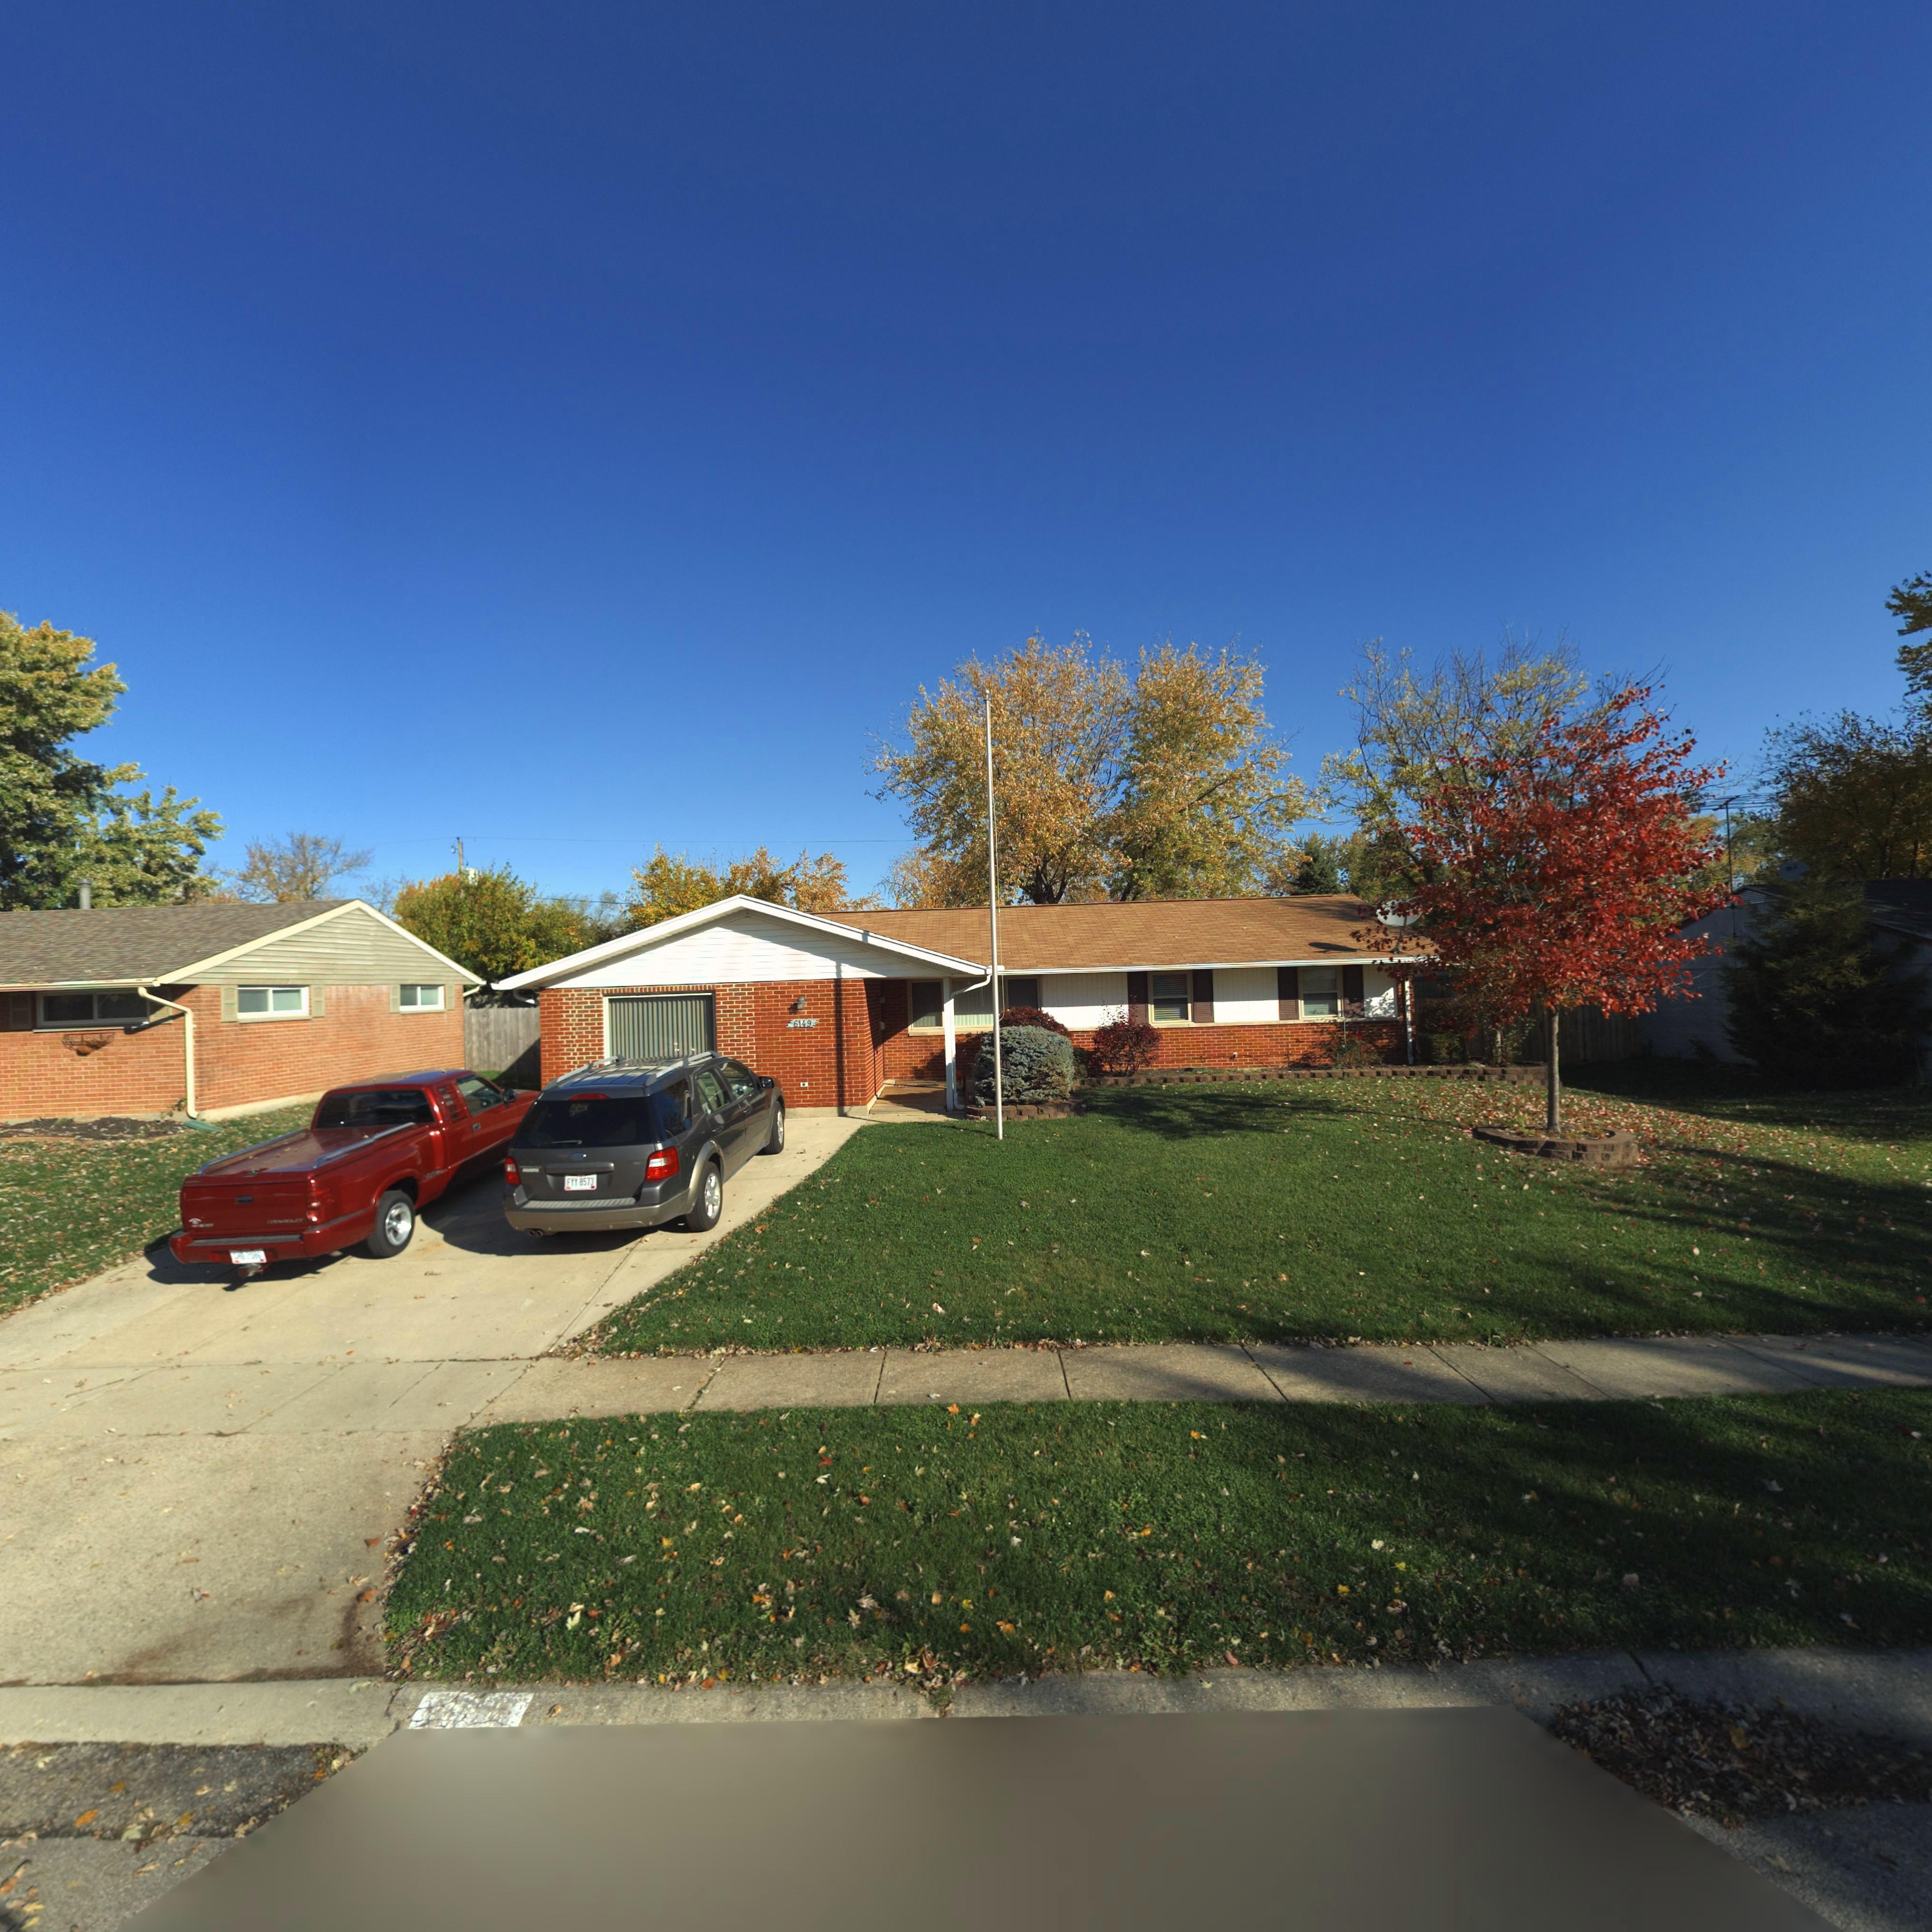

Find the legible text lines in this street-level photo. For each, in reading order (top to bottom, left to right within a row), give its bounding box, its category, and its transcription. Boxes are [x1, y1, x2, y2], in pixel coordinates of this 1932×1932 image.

[793, 1020, 812, 1028] StreetNumber: 6149
[1000, 1059, 1011, 1069] StreetNumber: 149